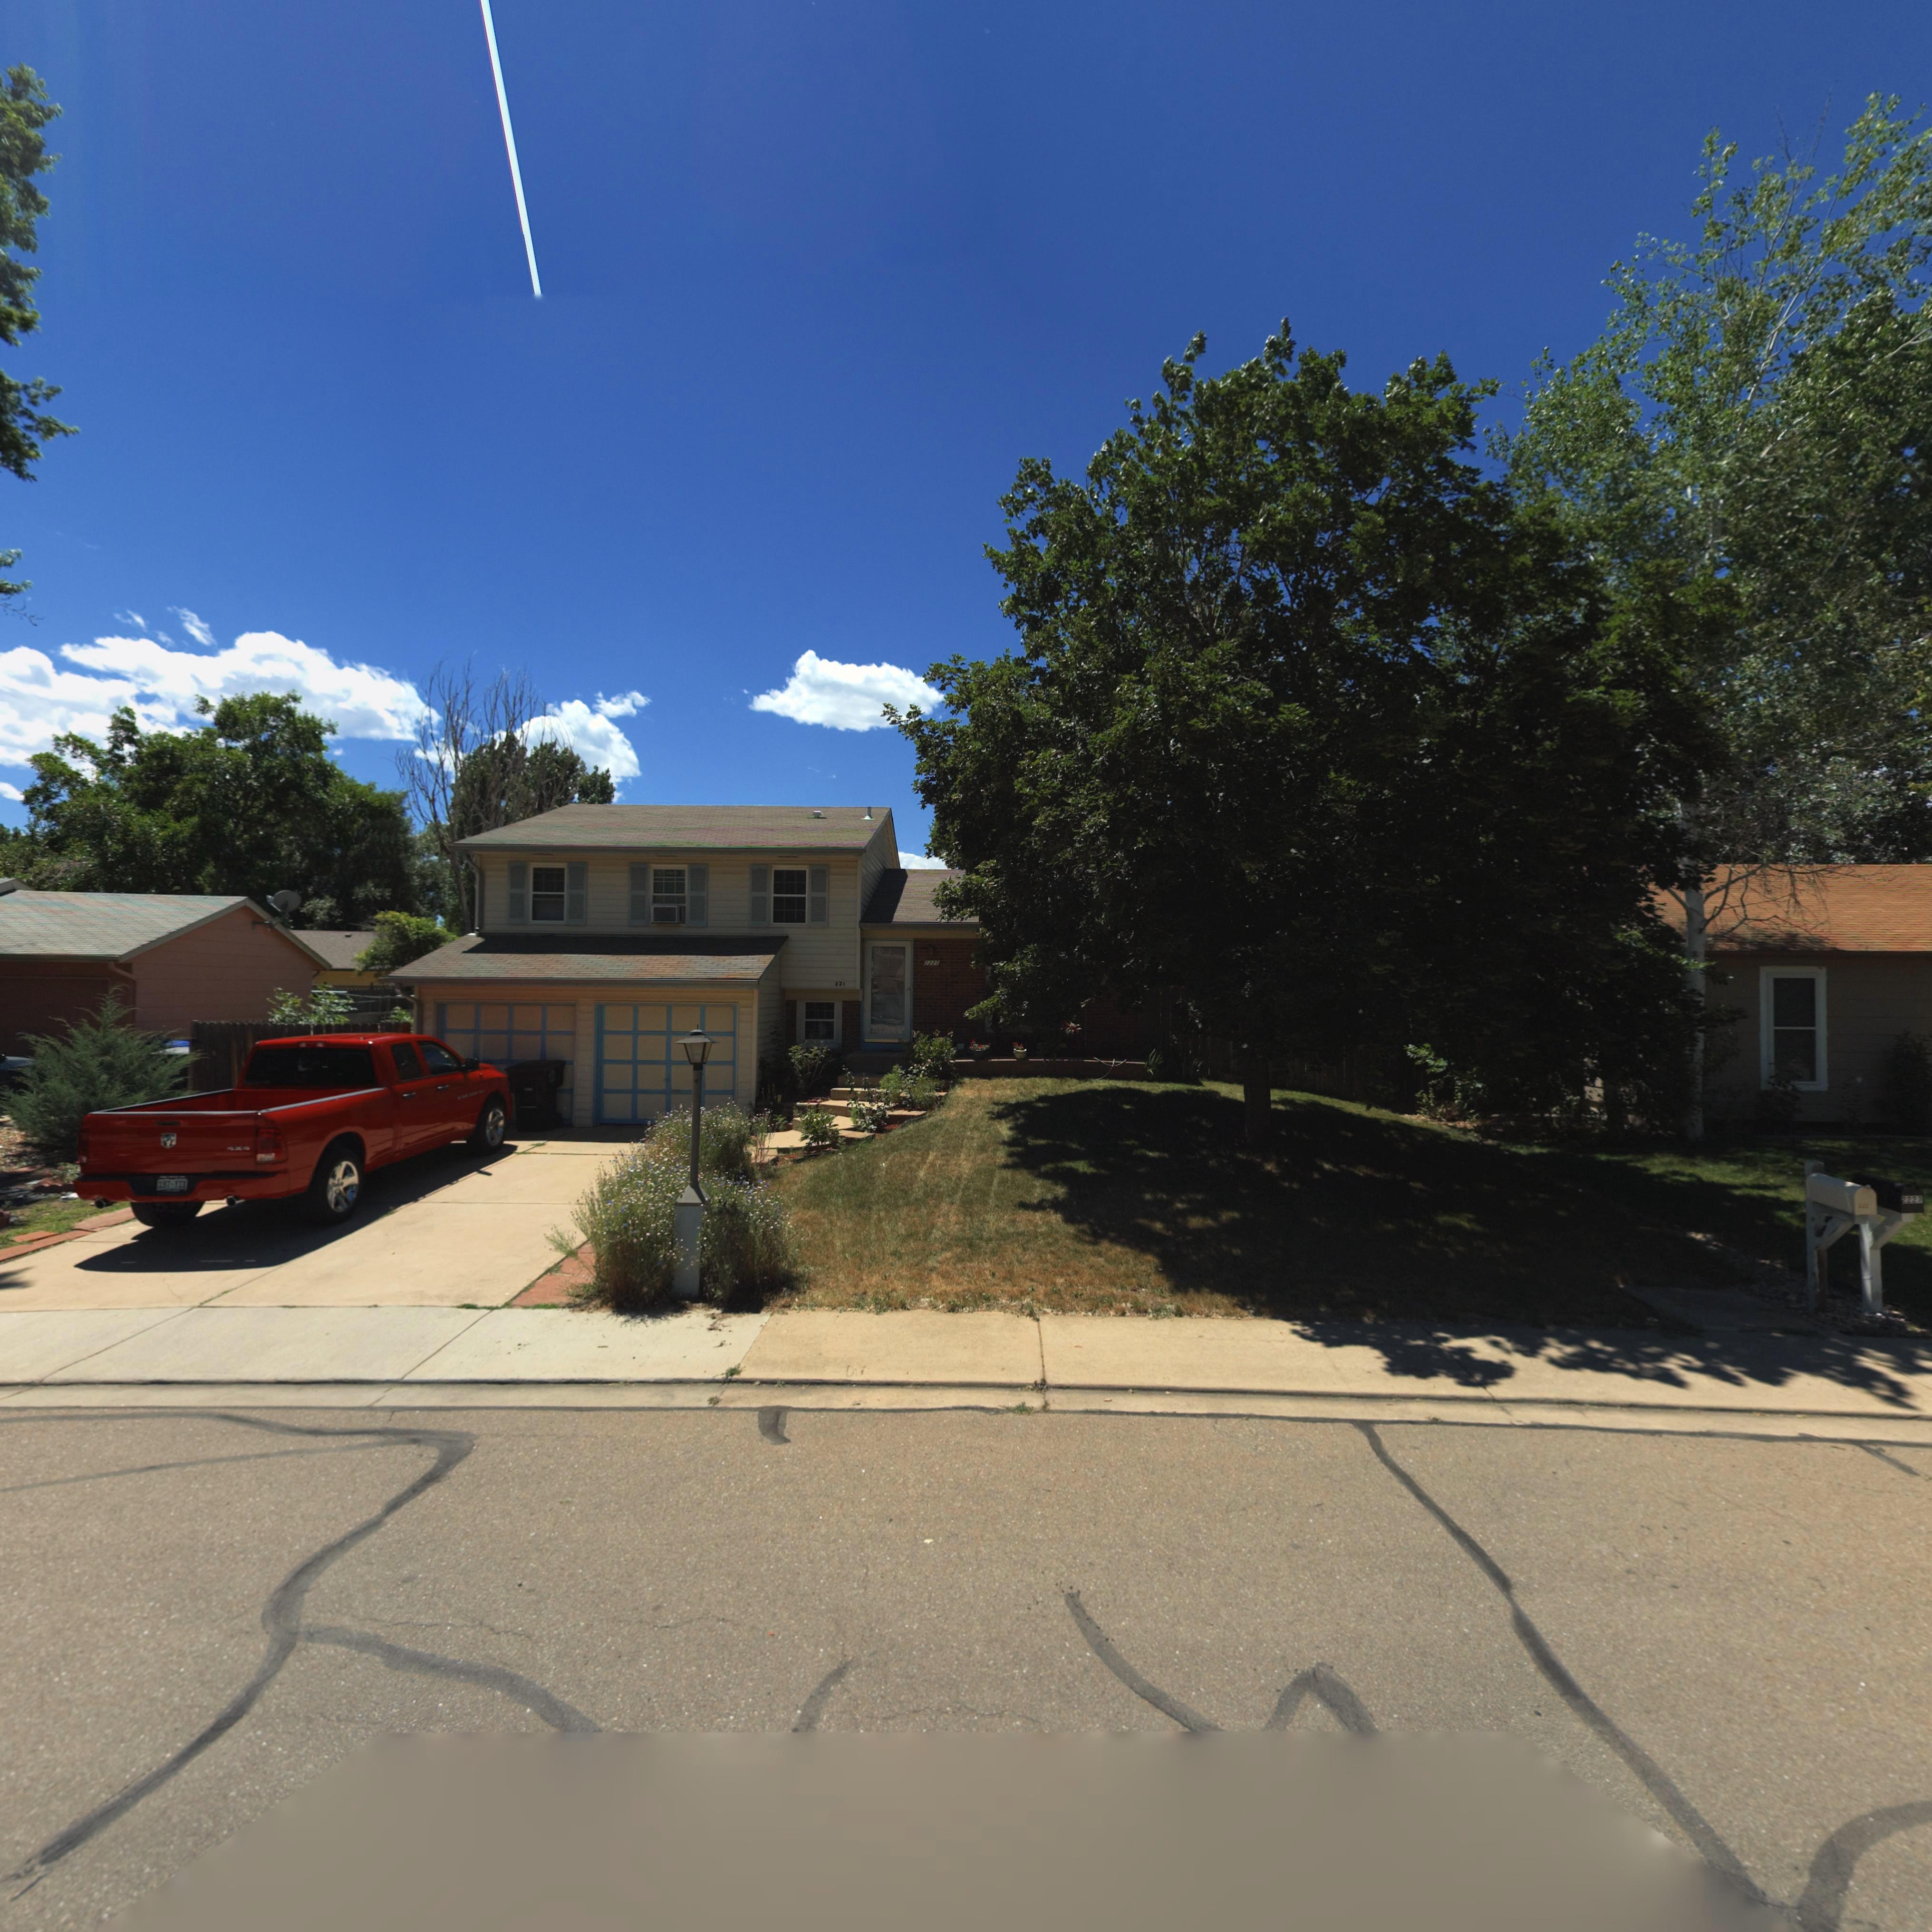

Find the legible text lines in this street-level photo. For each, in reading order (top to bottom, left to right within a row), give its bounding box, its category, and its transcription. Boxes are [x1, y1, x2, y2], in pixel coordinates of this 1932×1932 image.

[925, 960, 938, 965] StreetNumber: 2221
[834, 981, 845, 986] StreetNumber: 221